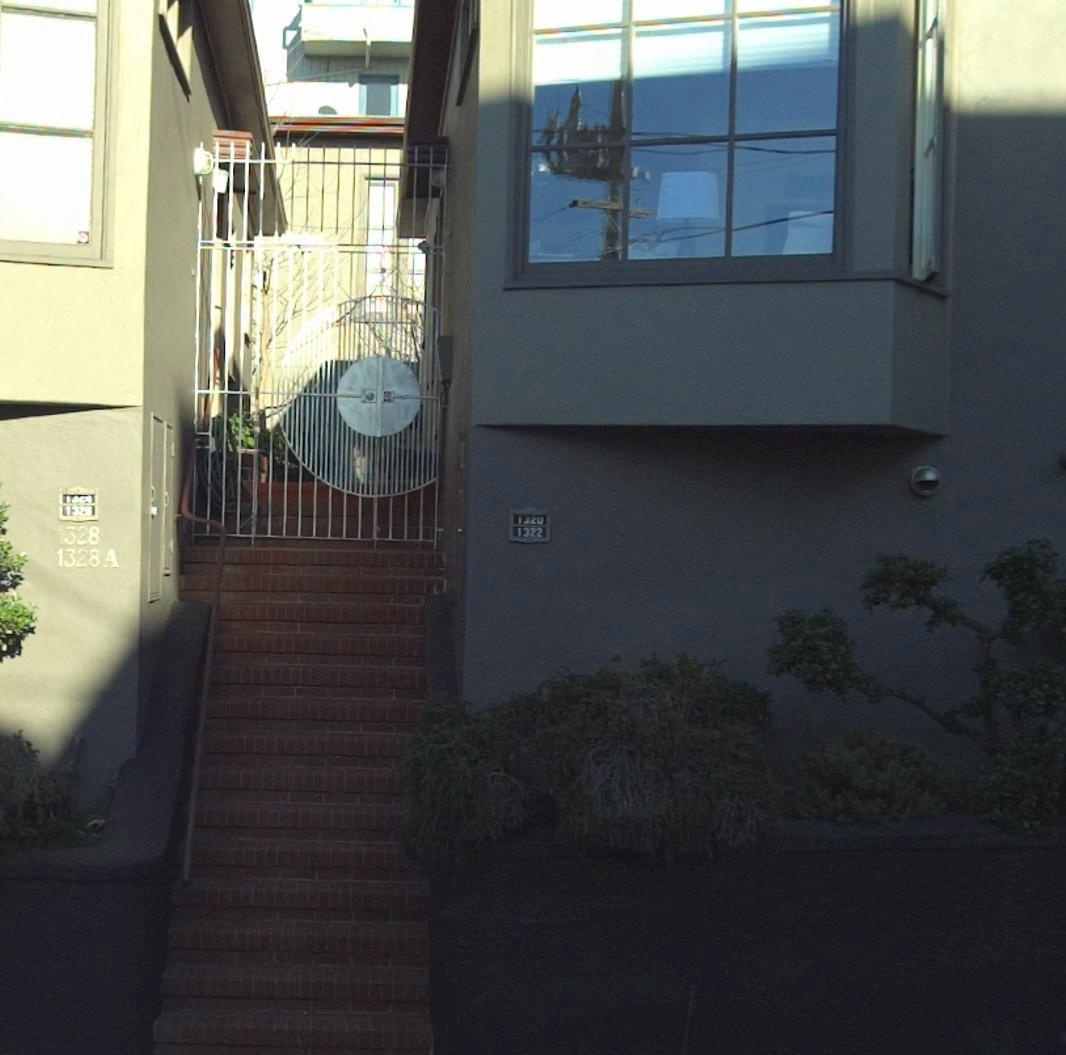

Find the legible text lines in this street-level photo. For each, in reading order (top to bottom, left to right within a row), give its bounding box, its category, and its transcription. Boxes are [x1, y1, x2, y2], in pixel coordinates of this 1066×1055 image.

[65, 494, 94, 504] StreetNumber: 1324
[63, 505, 94, 517] StreetNumber: 1326
[517, 514, 545, 525] StreetNumber: 1320
[54, 524, 101, 546] StreetNumber: 1328
[516, 526, 544, 539] StreetNumber: 1322
[56, 547, 120, 568] StreetNumber: 1328A